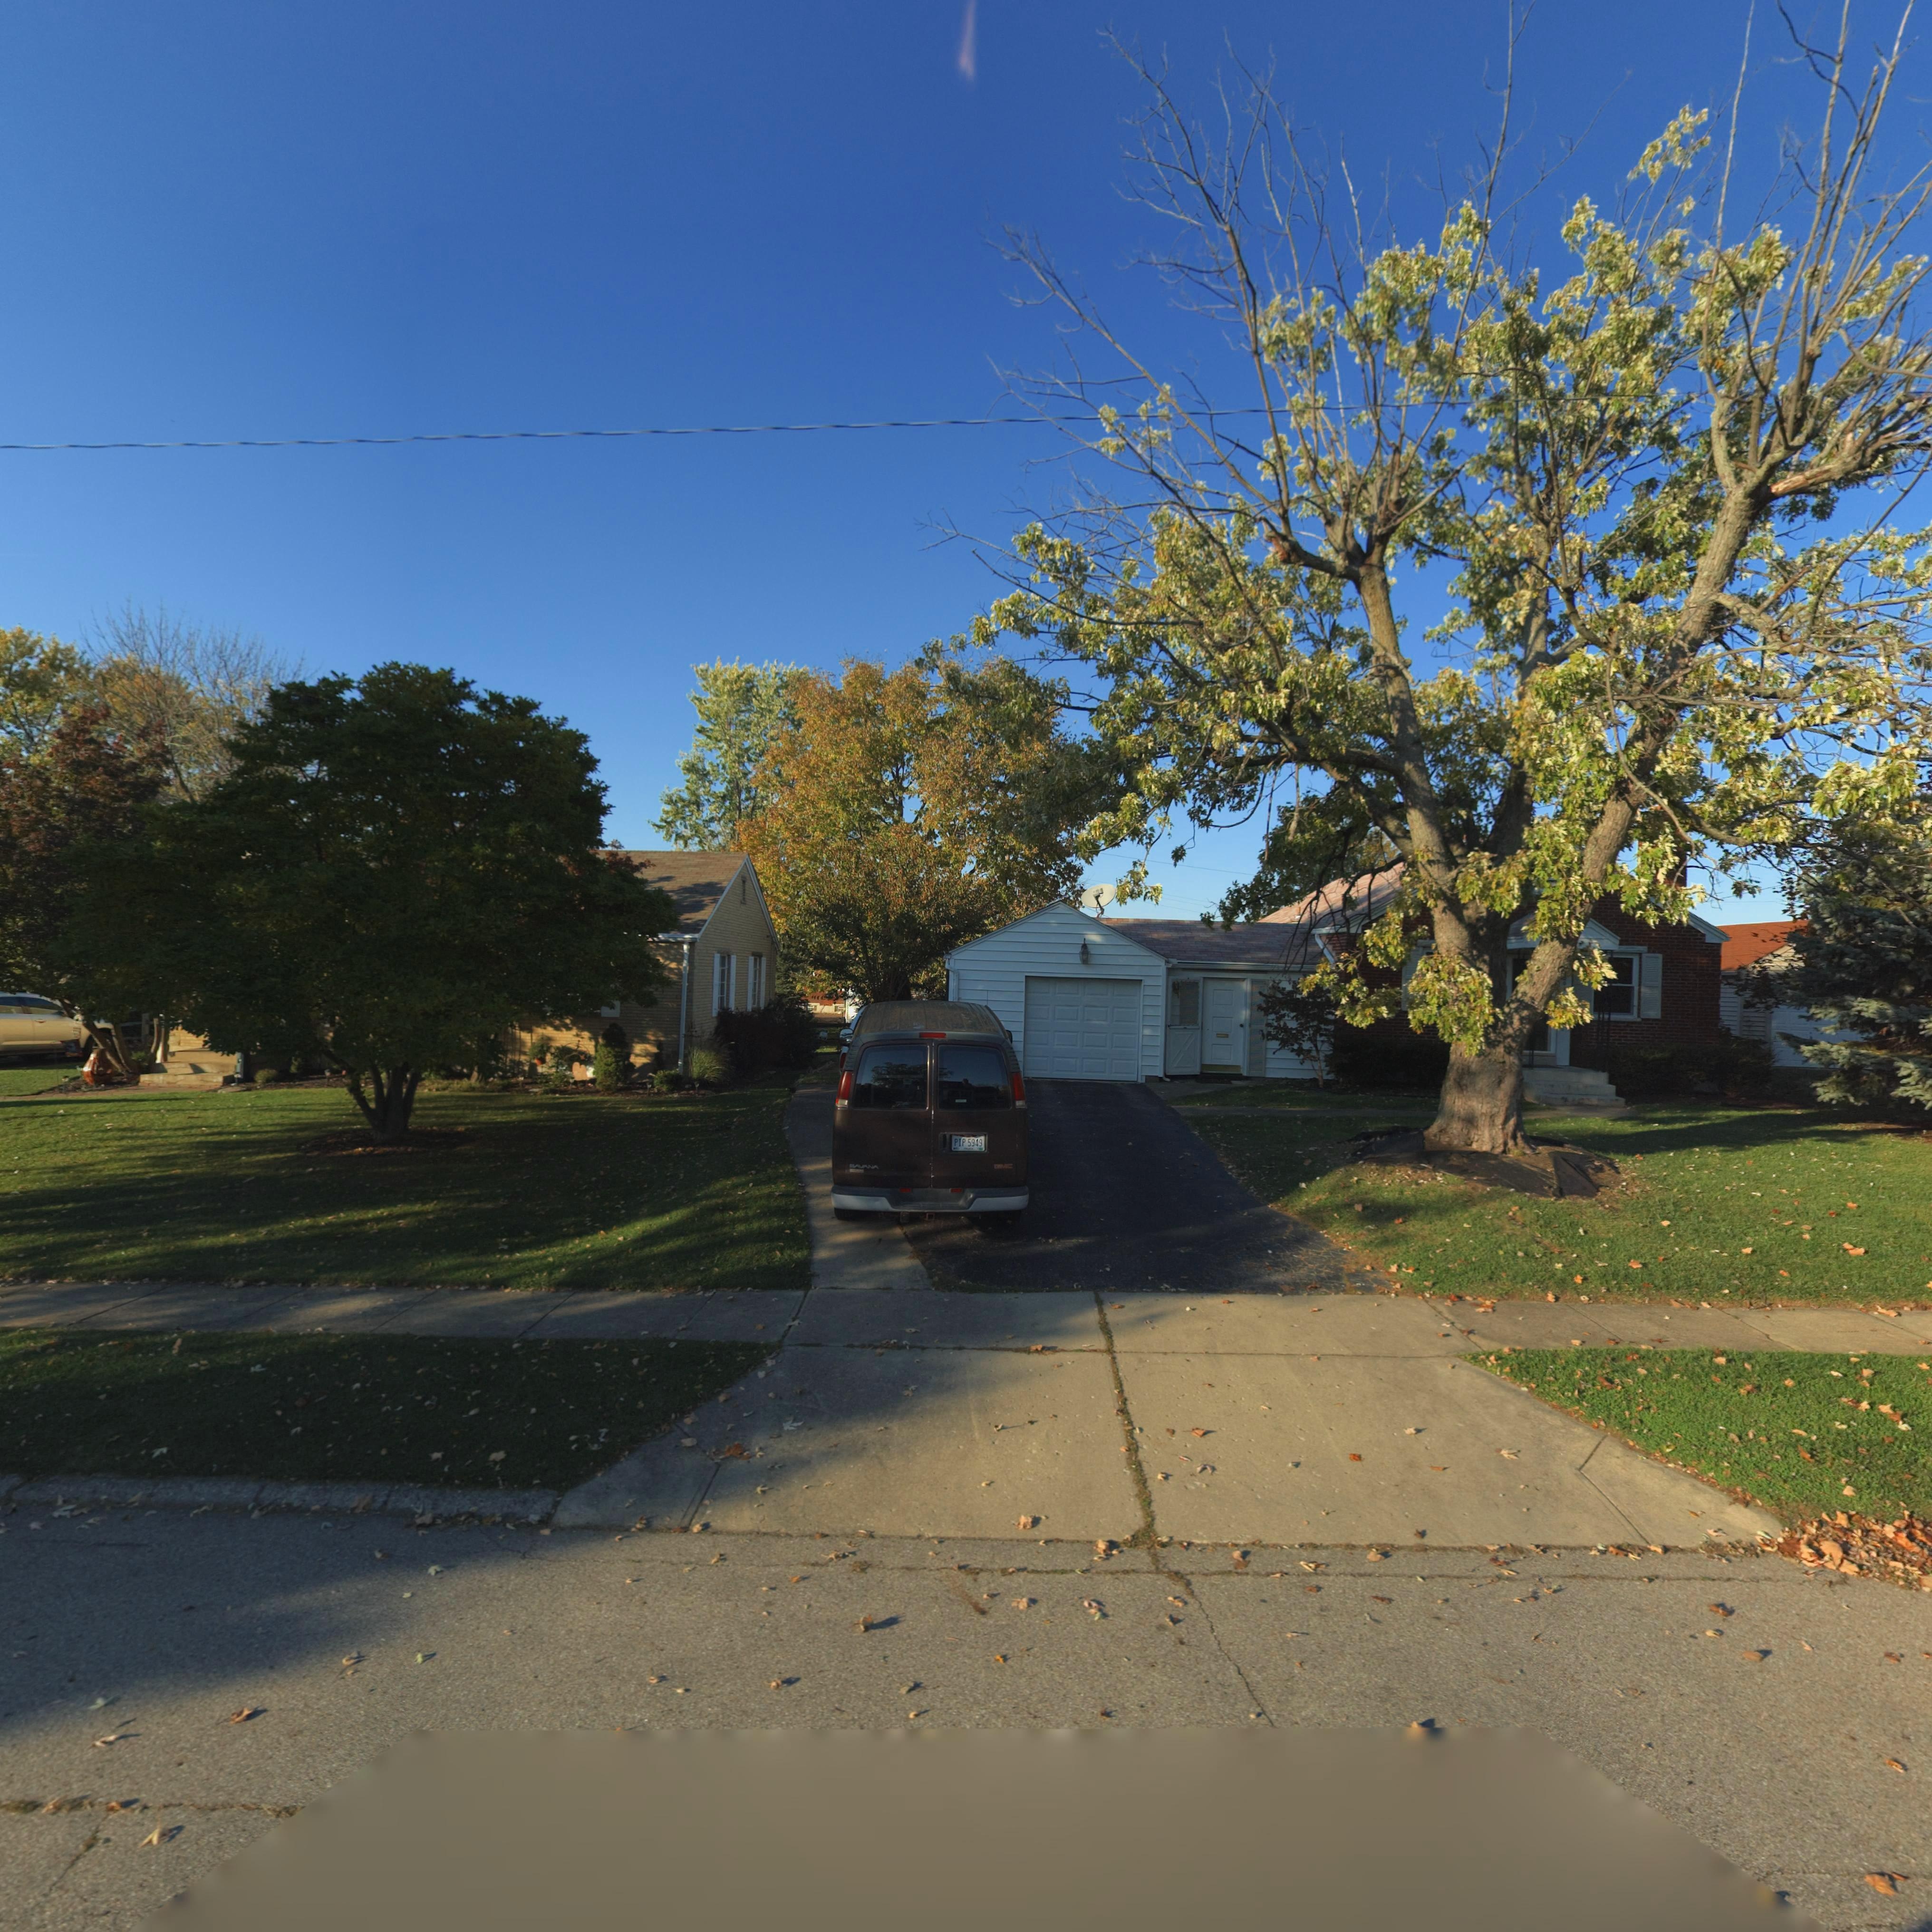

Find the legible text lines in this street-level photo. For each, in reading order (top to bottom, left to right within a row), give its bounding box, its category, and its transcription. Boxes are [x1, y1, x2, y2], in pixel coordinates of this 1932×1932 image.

[1562, 976, 1566, 991] StreetNumber: *0*